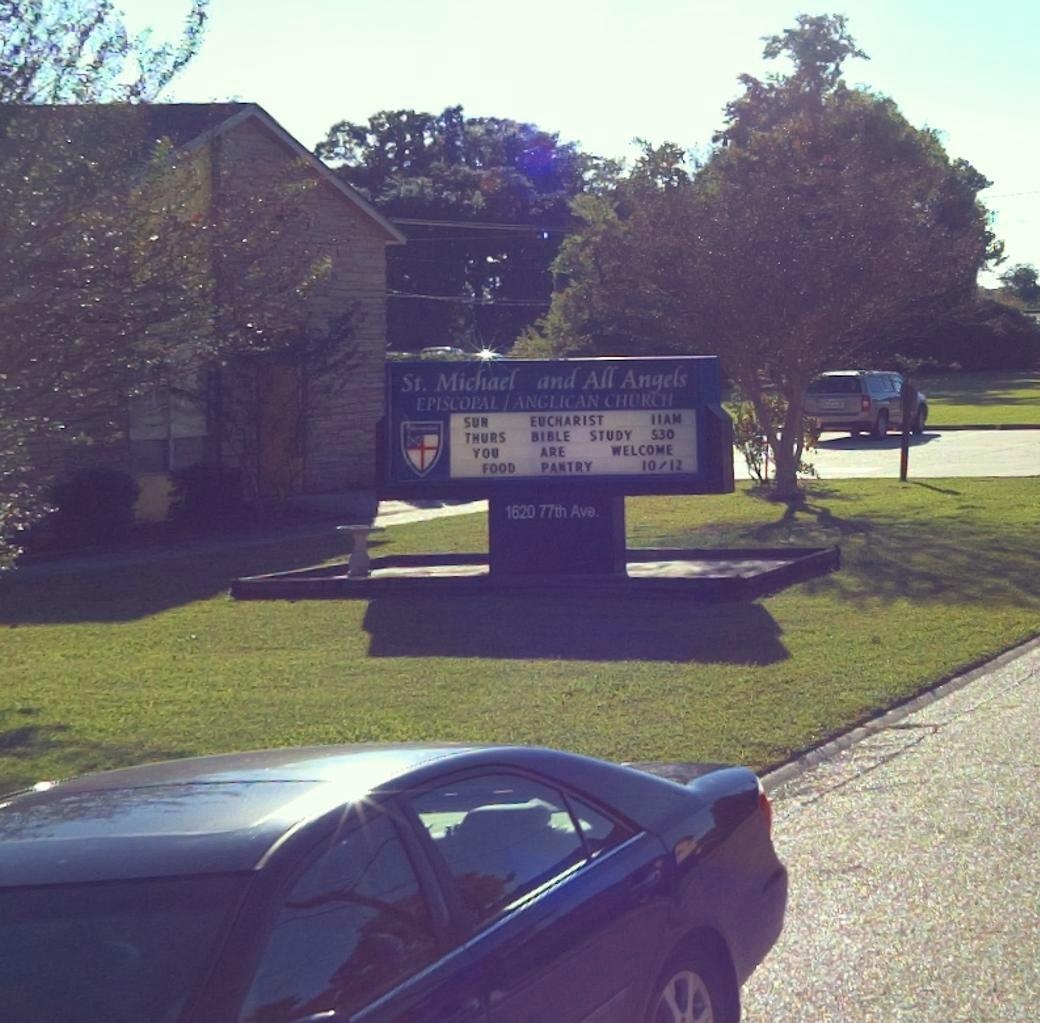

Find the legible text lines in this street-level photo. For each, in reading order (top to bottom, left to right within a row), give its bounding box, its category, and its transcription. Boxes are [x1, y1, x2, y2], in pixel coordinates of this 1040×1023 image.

[398, 364, 690, 394] None: St. Michael and All Angels
[415, 392, 674, 413] None: EPISCOPAL/ANGLICAN CHURCH
[462, 412, 684, 430] None: SUN EUCHARIST 11AM
[463, 428, 676, 446] None: THURS BIBLE STUDY 530
[470, 443, 674, 460] None: YOU ARE WELCOME
[480, 458, 684, 476] None: FOOD PANTRY 10/12
[504, 504, 537, 520] StreetNumber: 1620
[537, 503, 600, 520] StreetName: 77th Ave.